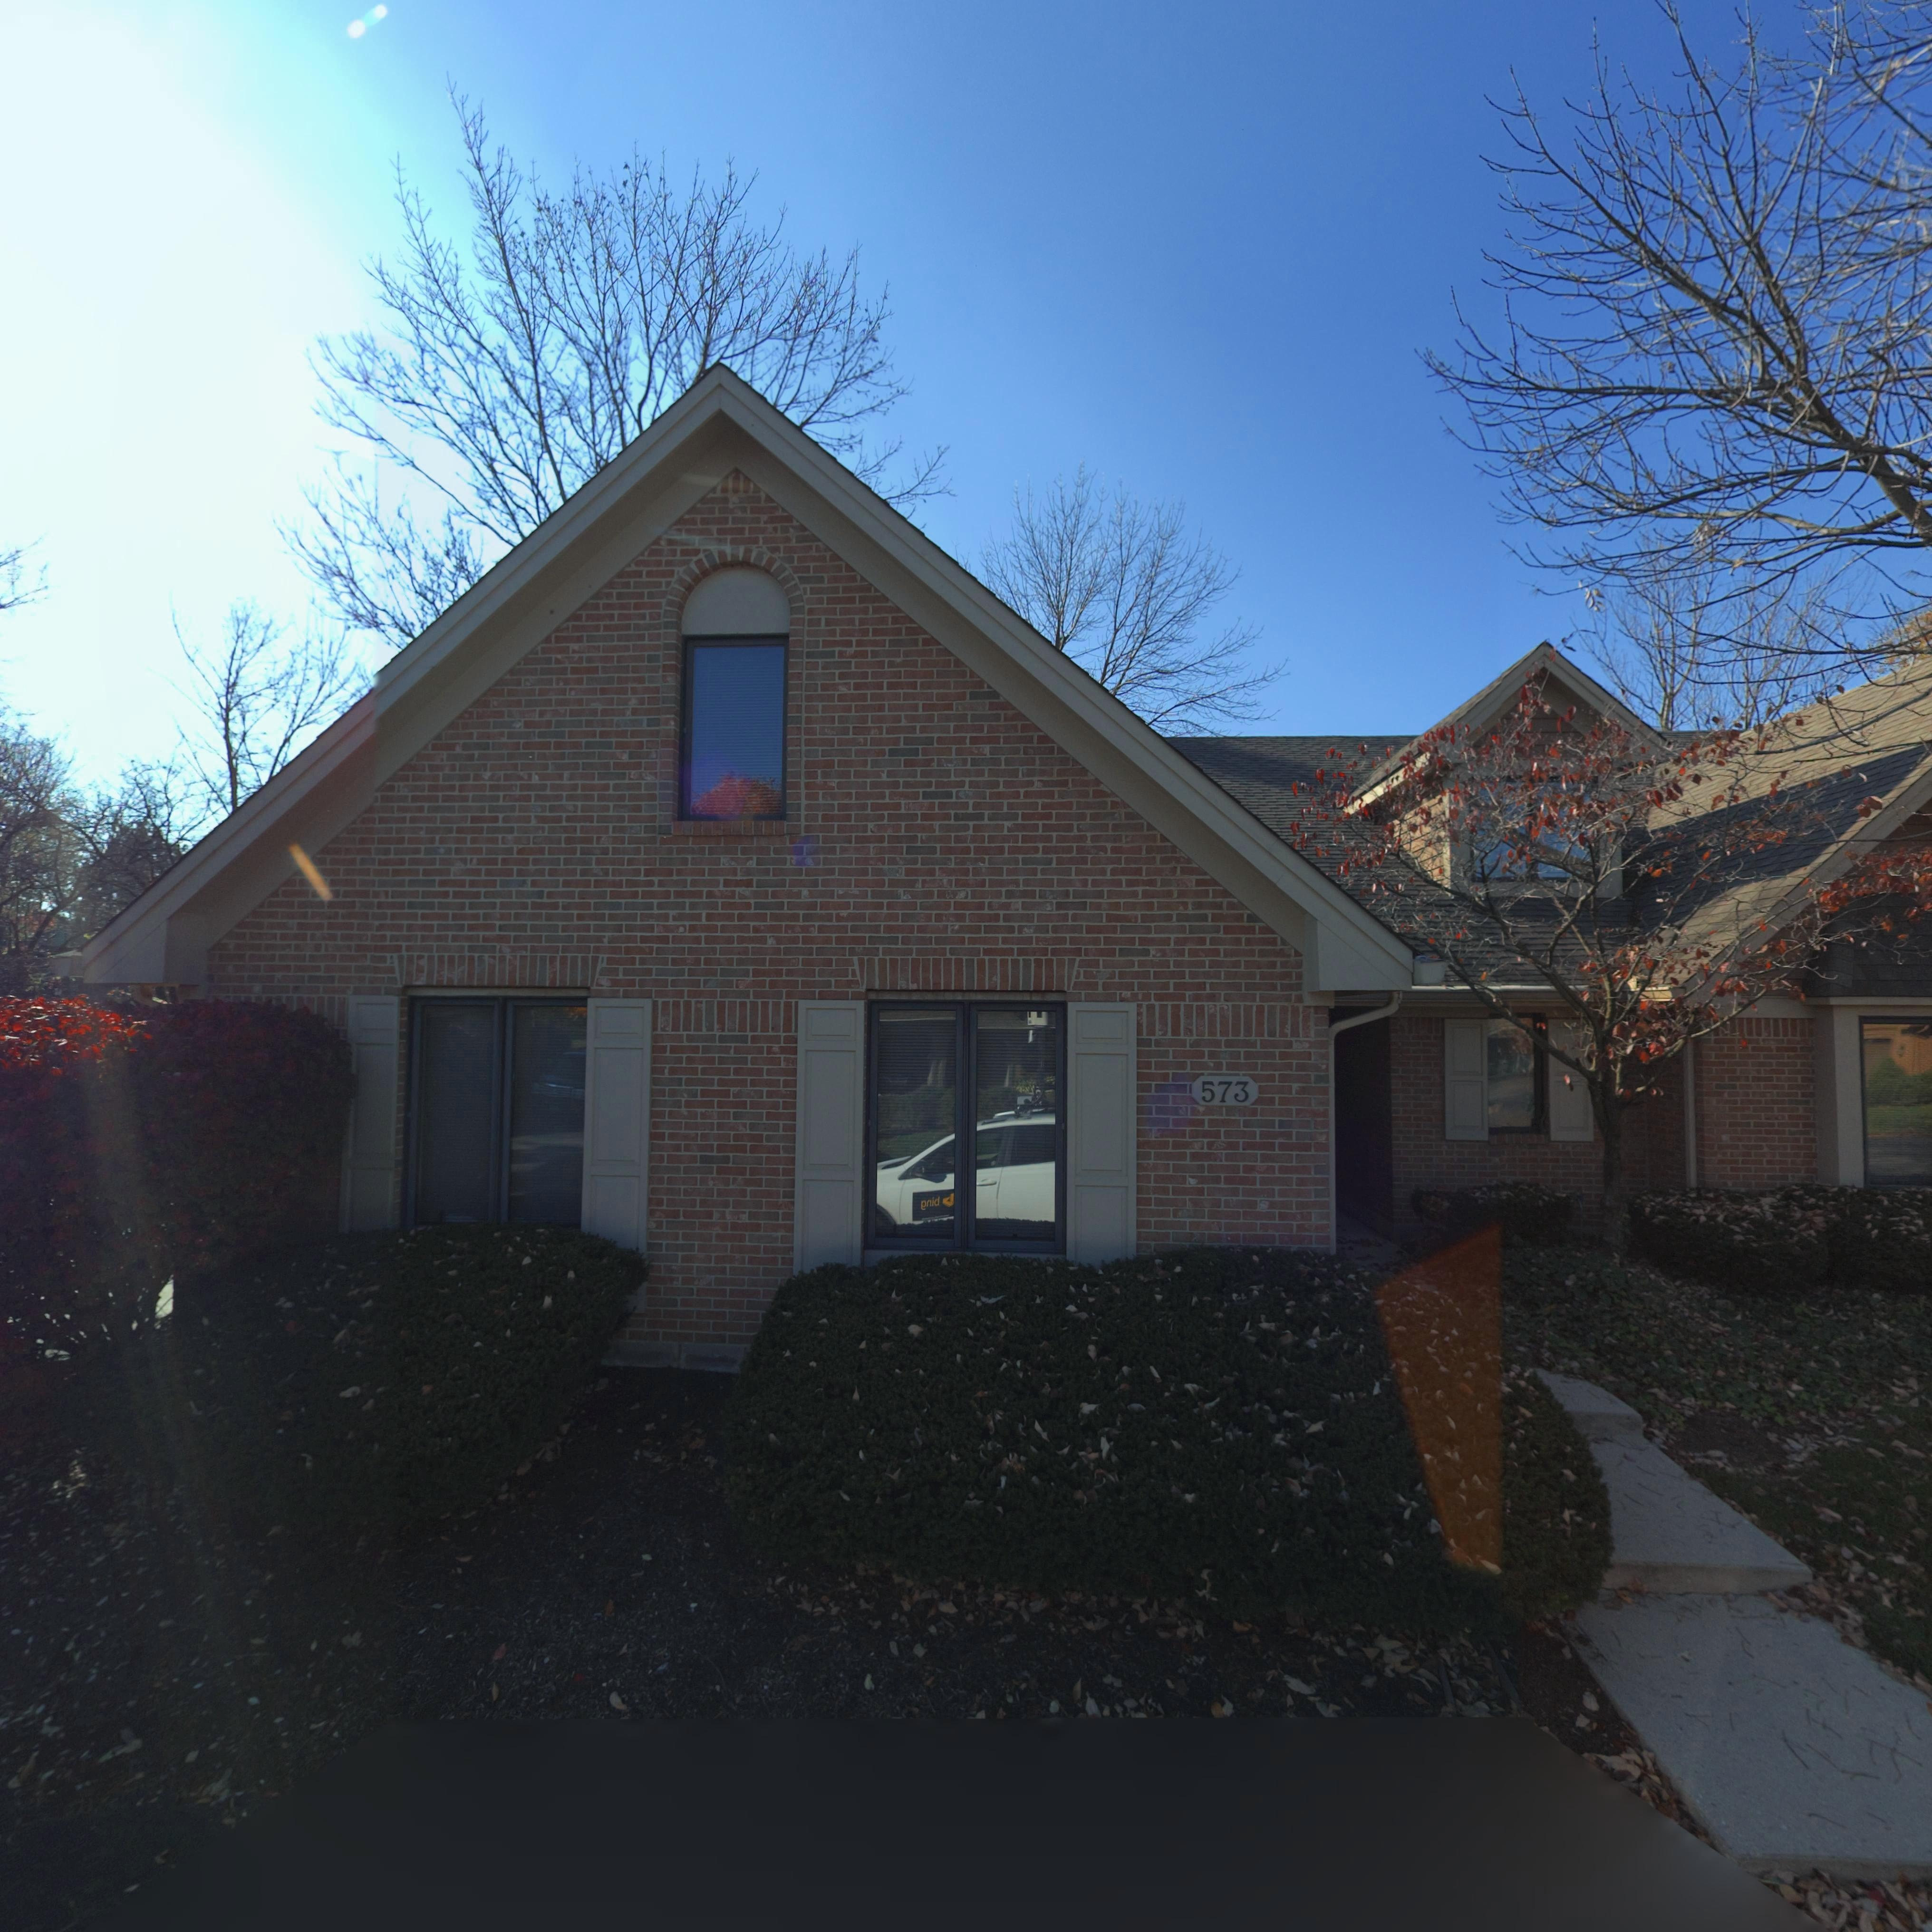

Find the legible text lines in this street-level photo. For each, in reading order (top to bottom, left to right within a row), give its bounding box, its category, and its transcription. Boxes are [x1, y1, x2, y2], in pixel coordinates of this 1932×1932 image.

[1199, 1079, 1249, 1104] StreetNumber: 573